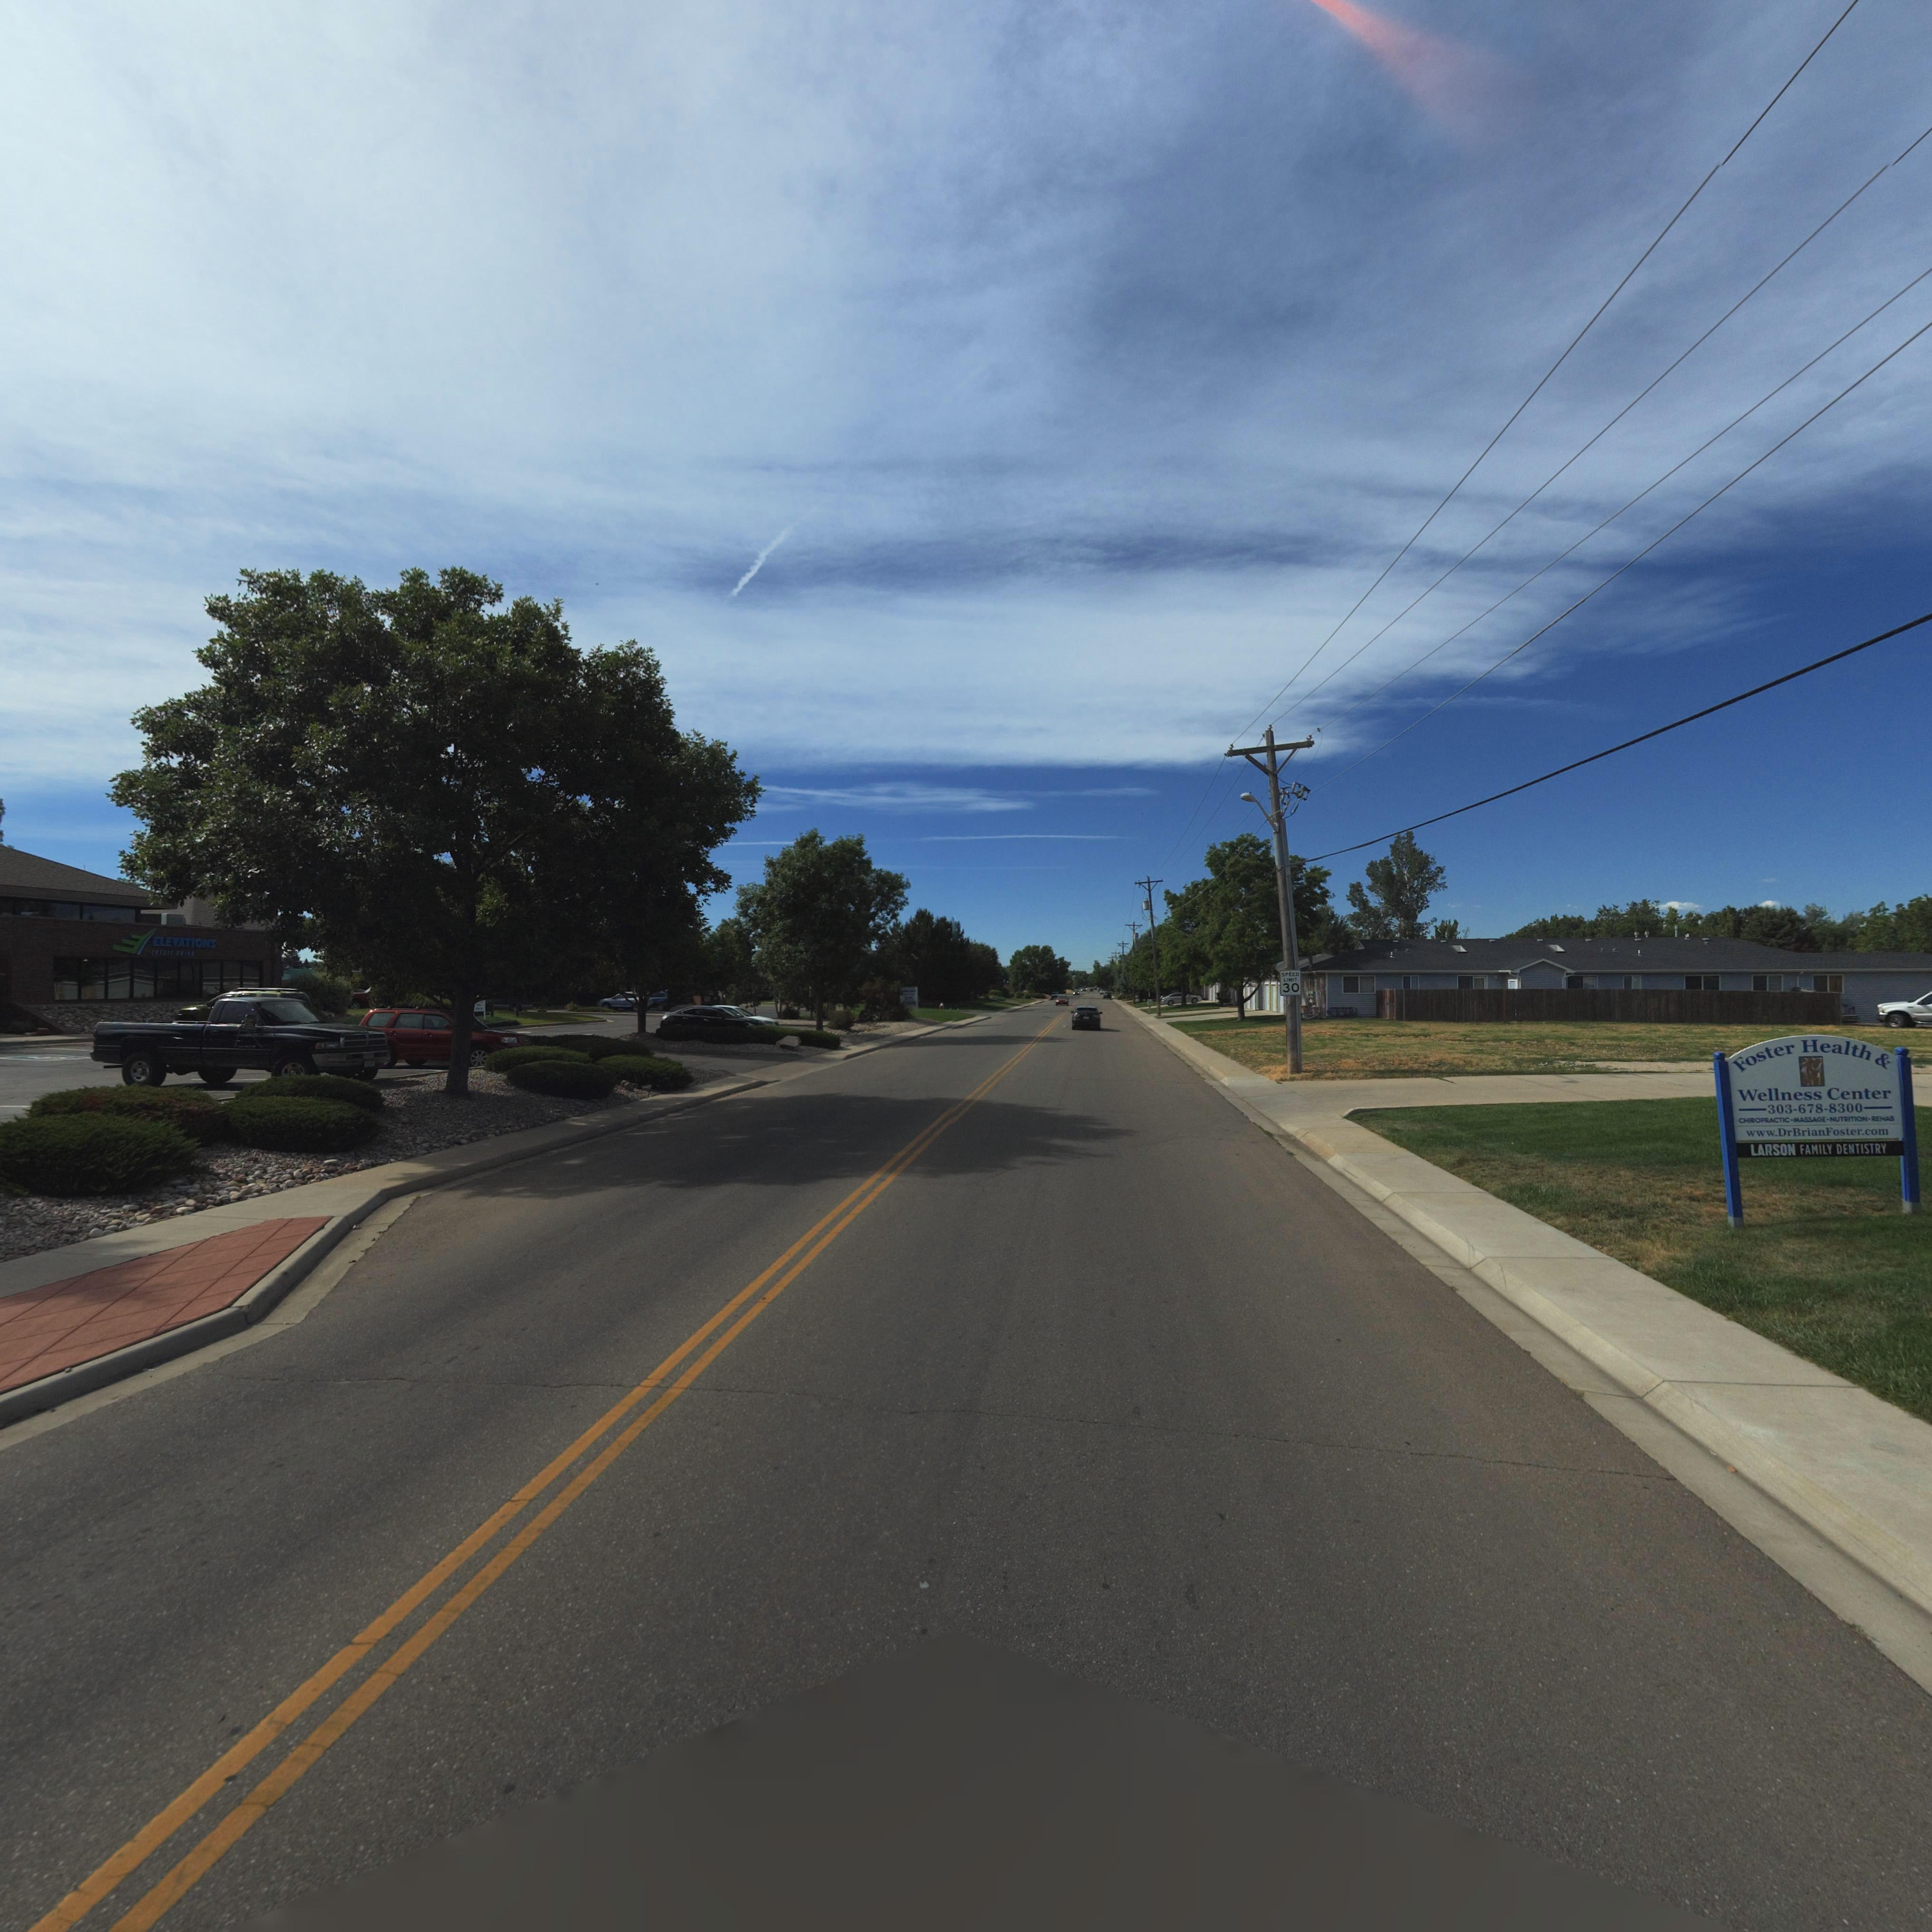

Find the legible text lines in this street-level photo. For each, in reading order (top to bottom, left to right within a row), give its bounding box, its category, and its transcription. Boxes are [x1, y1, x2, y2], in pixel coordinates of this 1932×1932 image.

[151, 935, 217, 949] BusinessName: ELEVATION
[151, 949, 195, 956] BusinessName: CREDI* **ION
[1729, 1038, 1893, 1074] BusinessName: Foster Health &
[1737, 1087, 1892, 1101] BusinessName: Wellness Center
[1749, 1142, 1886, 1156] BusinessName: LARSON FAMILY DENTISTRY